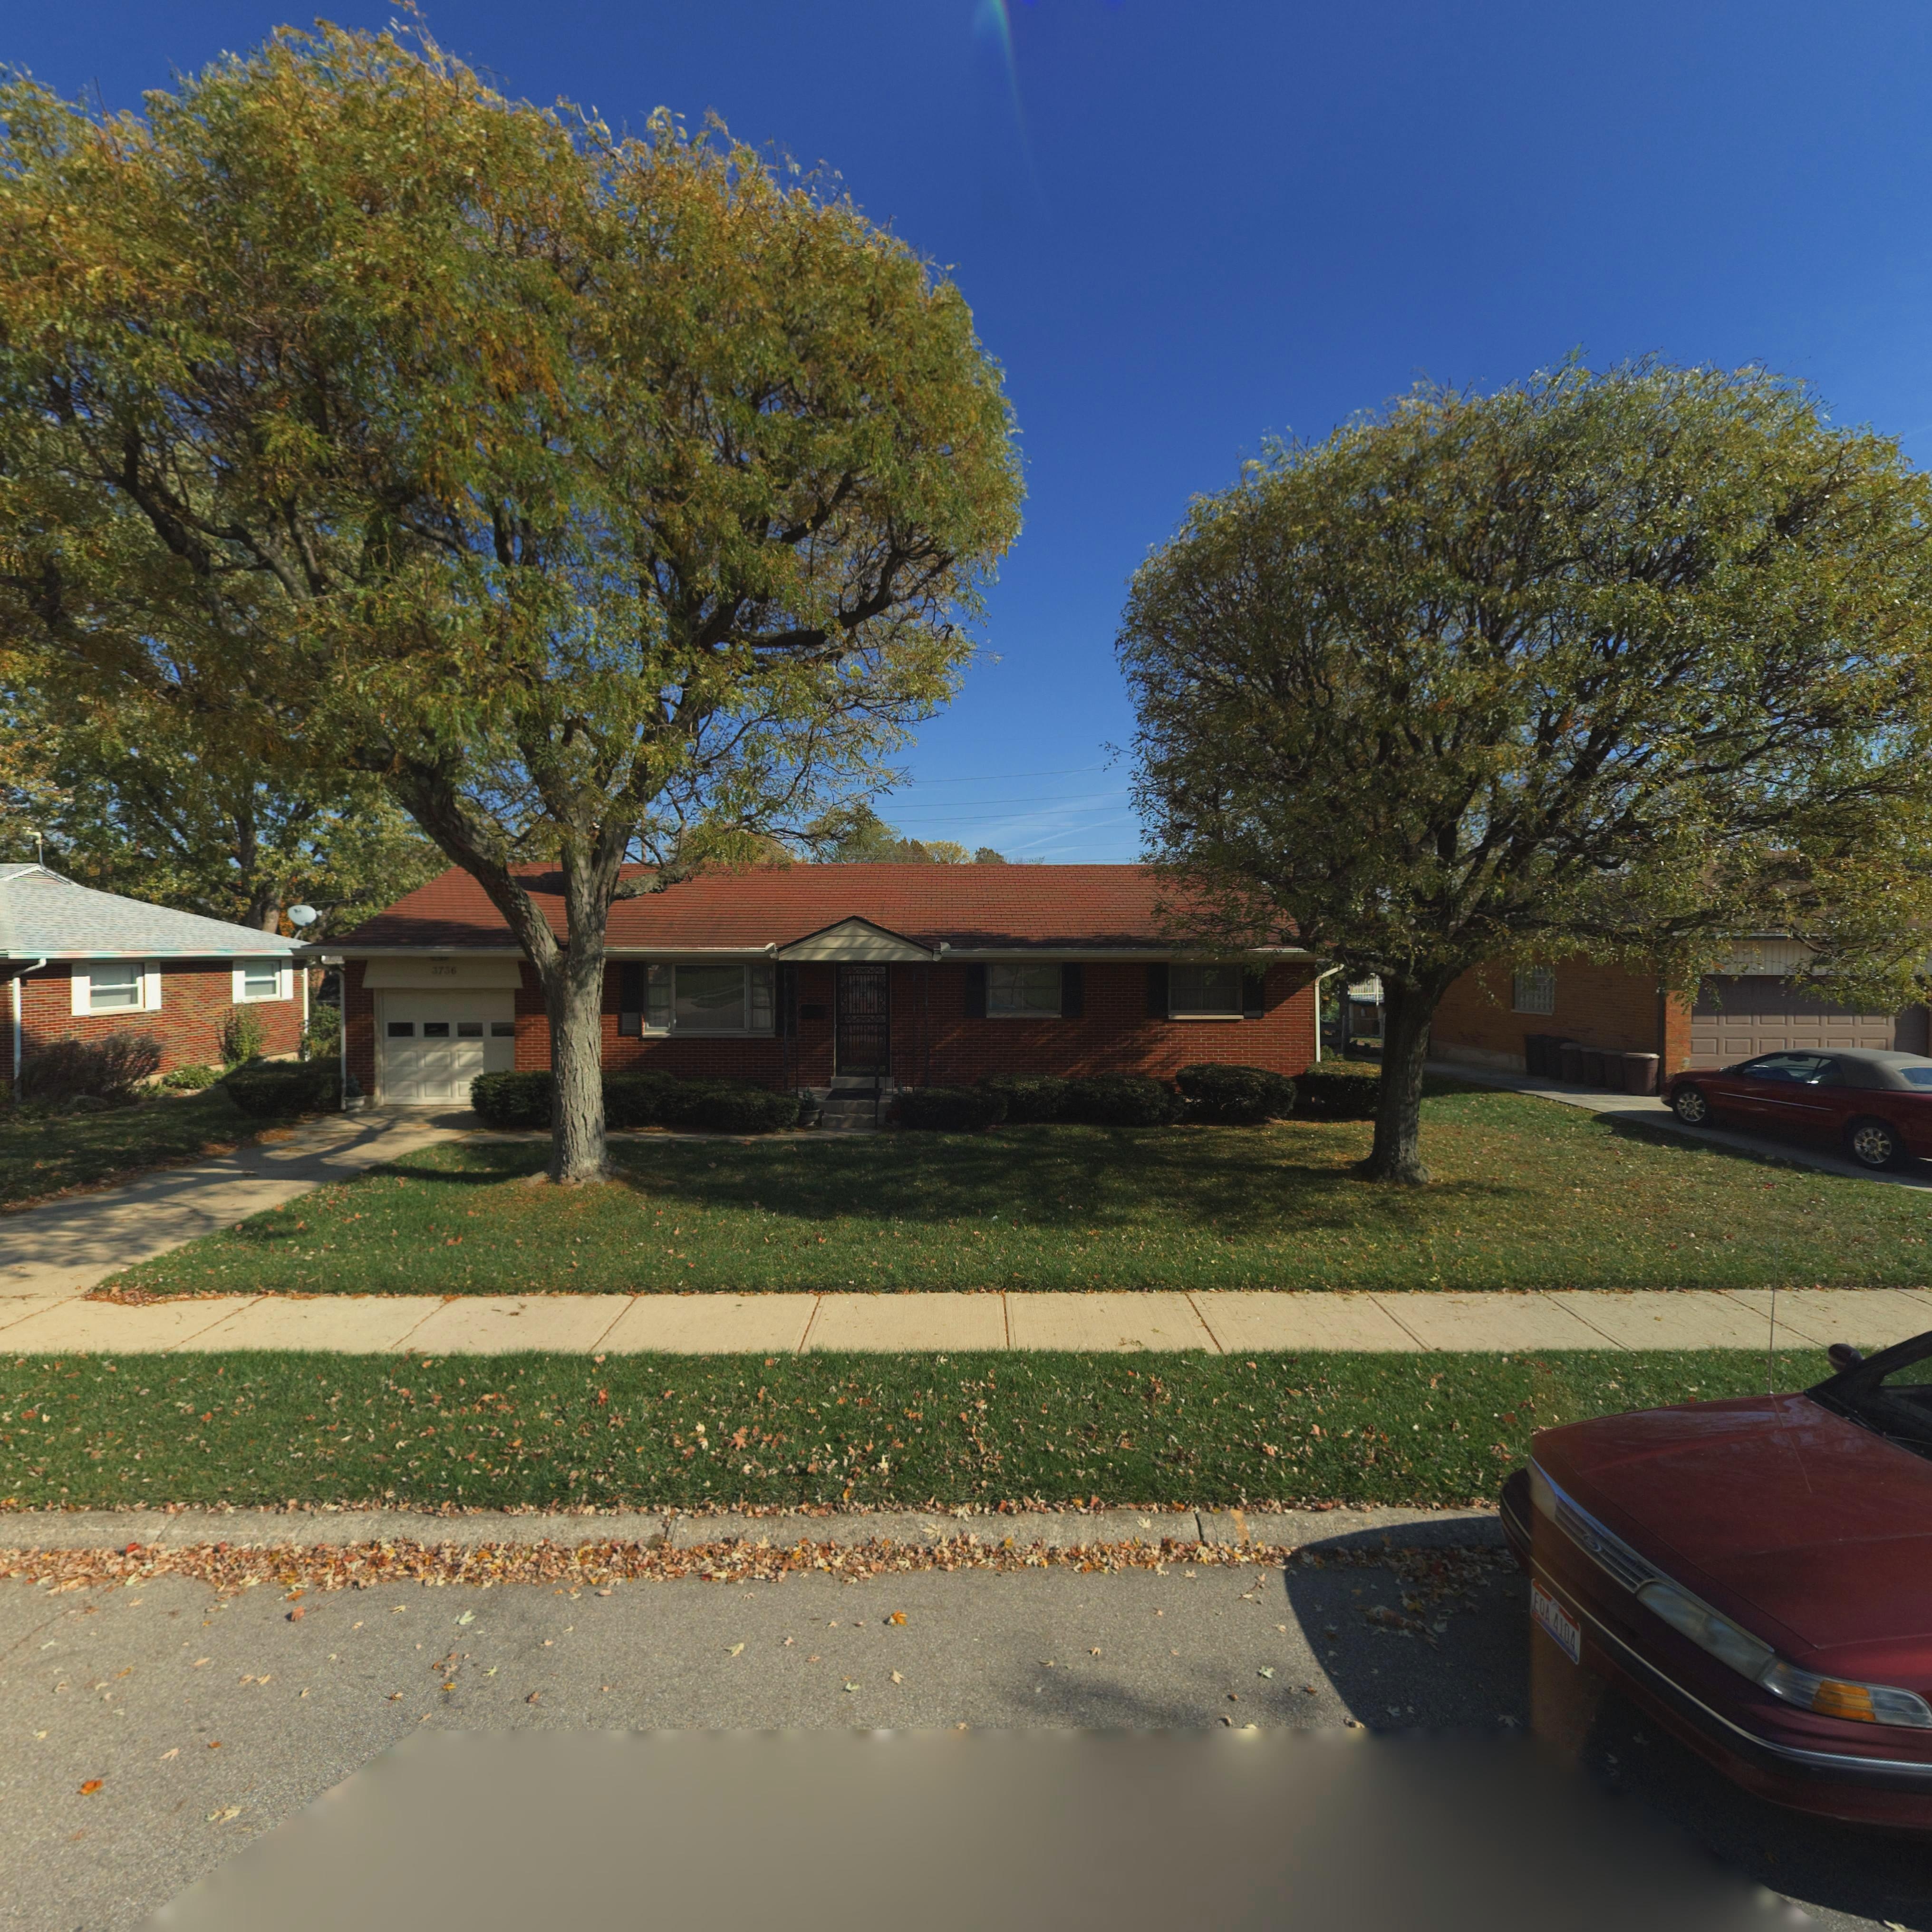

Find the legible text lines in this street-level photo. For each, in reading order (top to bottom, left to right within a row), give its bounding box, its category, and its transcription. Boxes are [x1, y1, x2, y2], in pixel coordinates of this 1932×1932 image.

[430, 964, 458, 976] StreetNumber: 3736